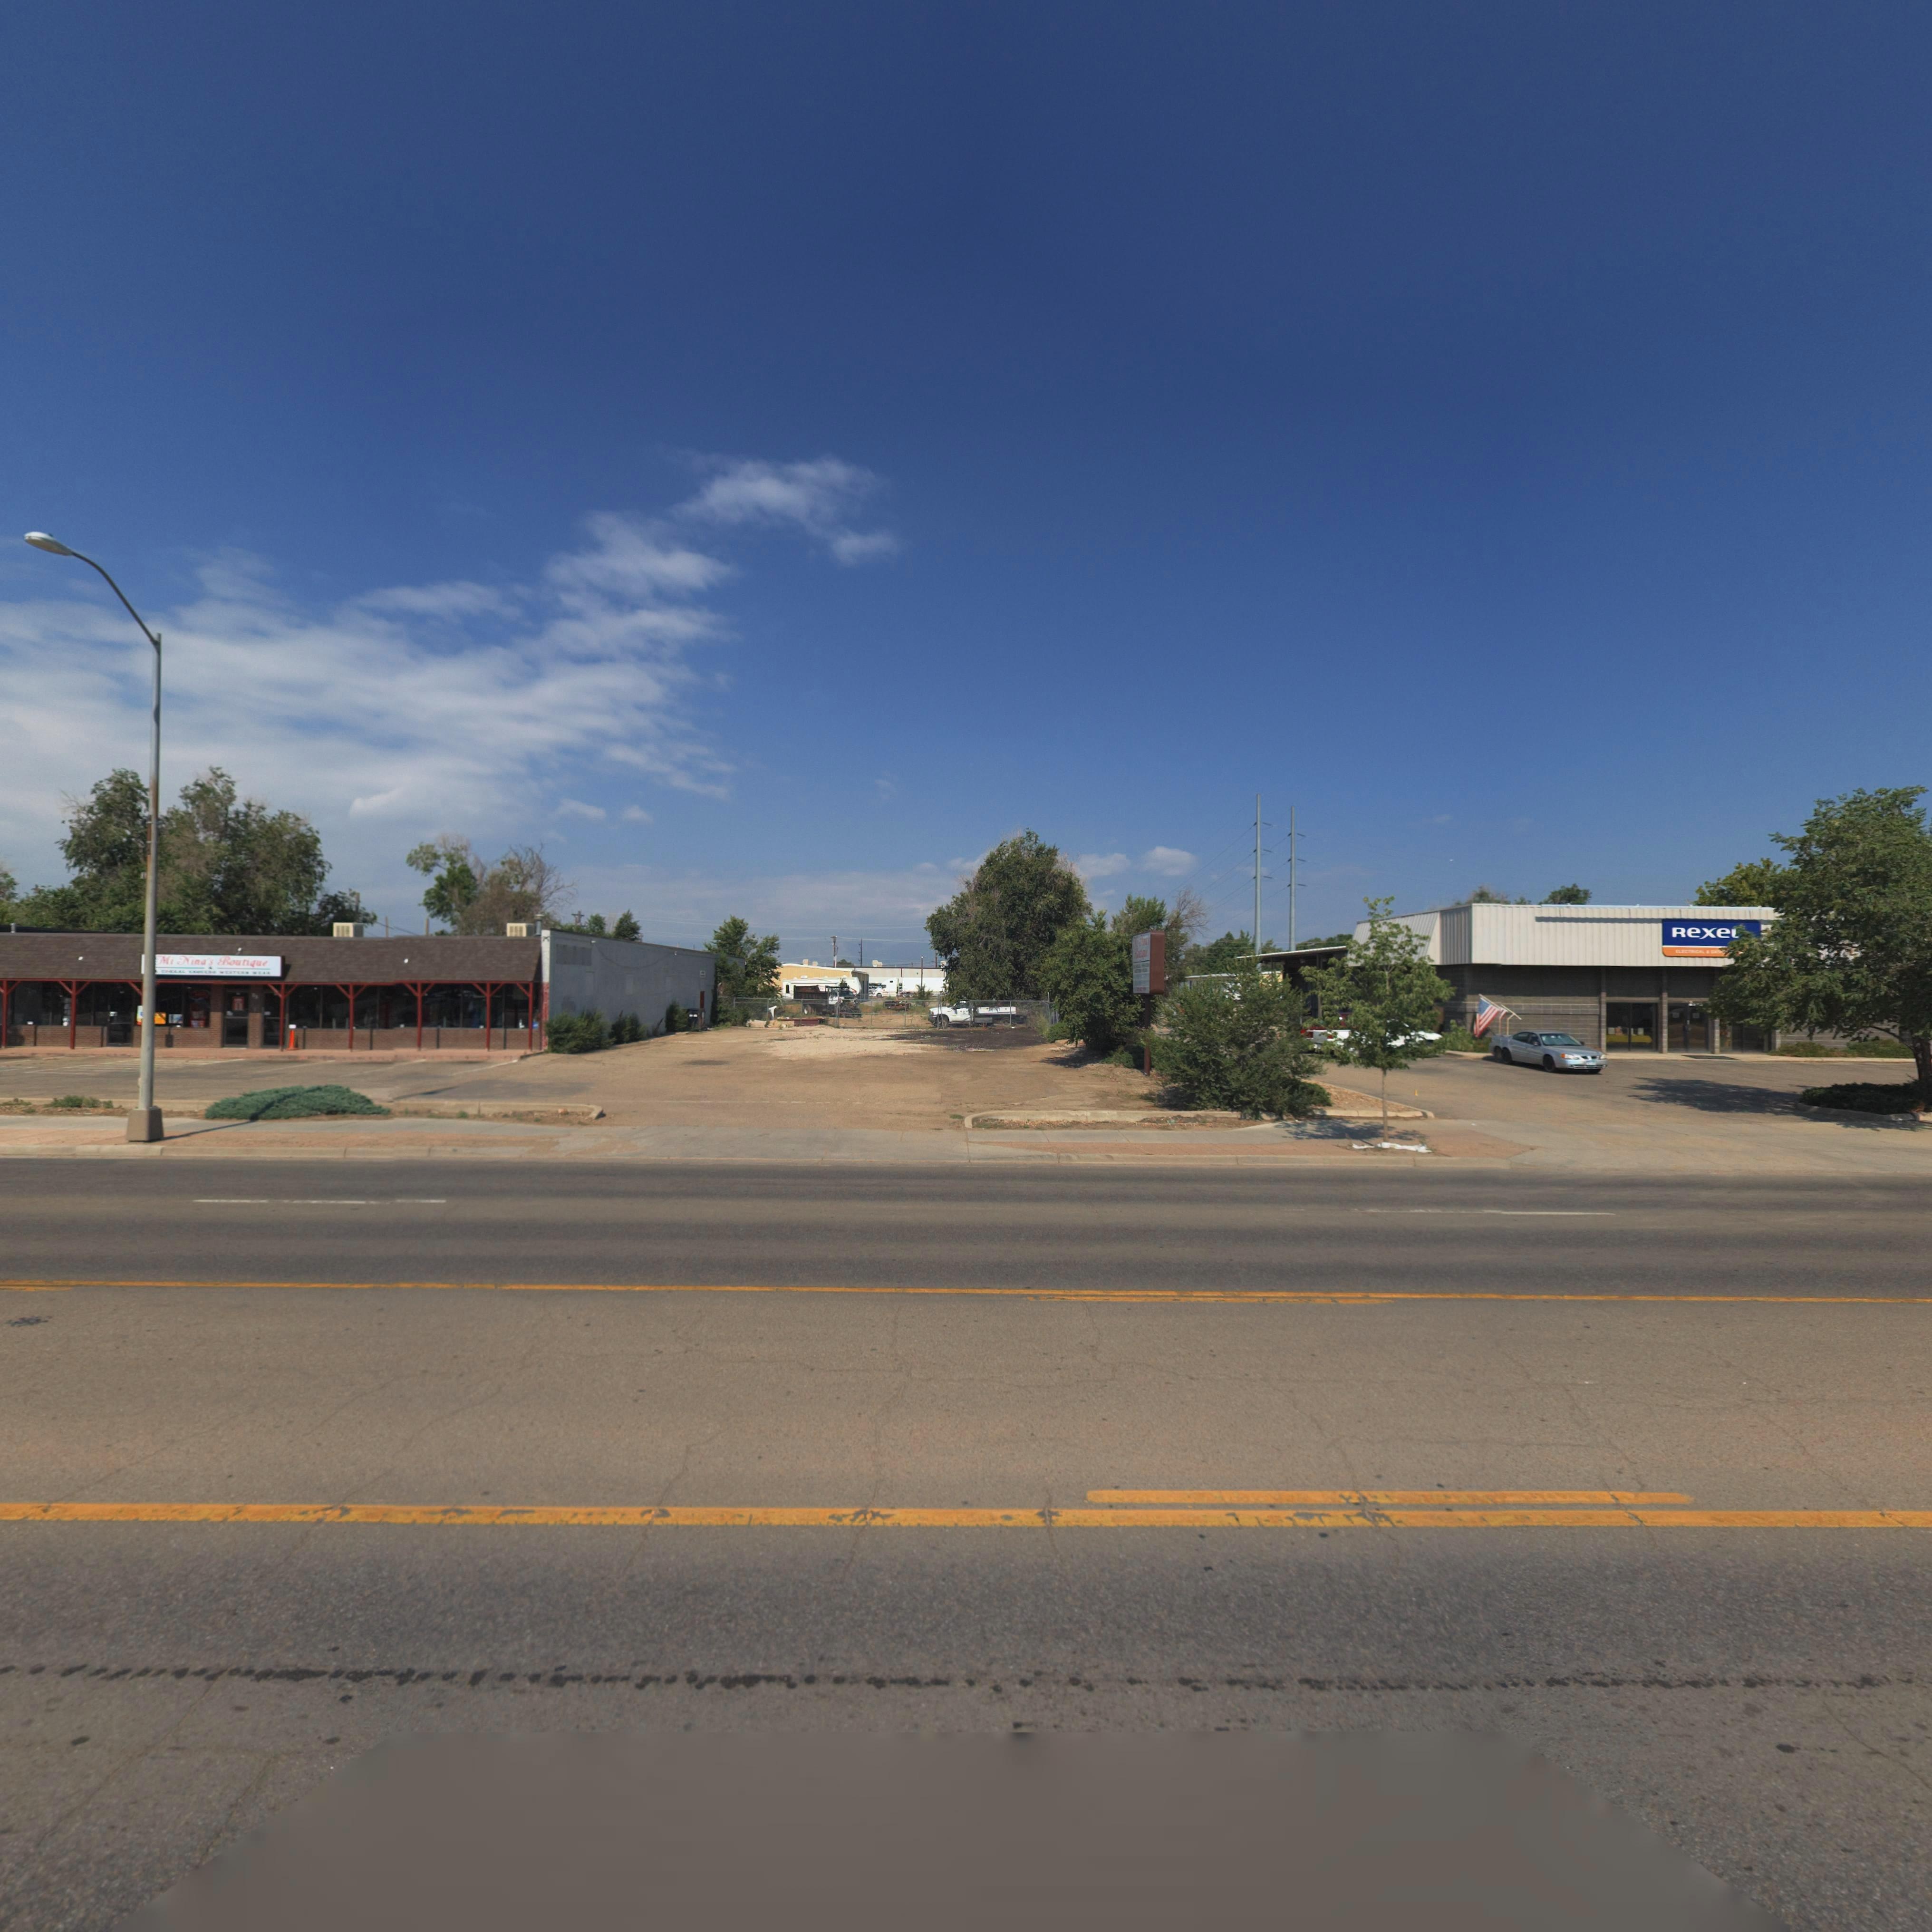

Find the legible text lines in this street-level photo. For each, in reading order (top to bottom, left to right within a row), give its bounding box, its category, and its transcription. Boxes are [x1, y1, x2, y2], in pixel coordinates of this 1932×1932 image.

[1671, 927, 1743, 939] BusinessName: REXEL
[1132, 935, 1150, 949] BusinessName: M* ***'s
[1133, 947, 1148, 960] BusinessName: B*******
[156, 955, 269, 969] BusinessName: Mi Nina's Boutique